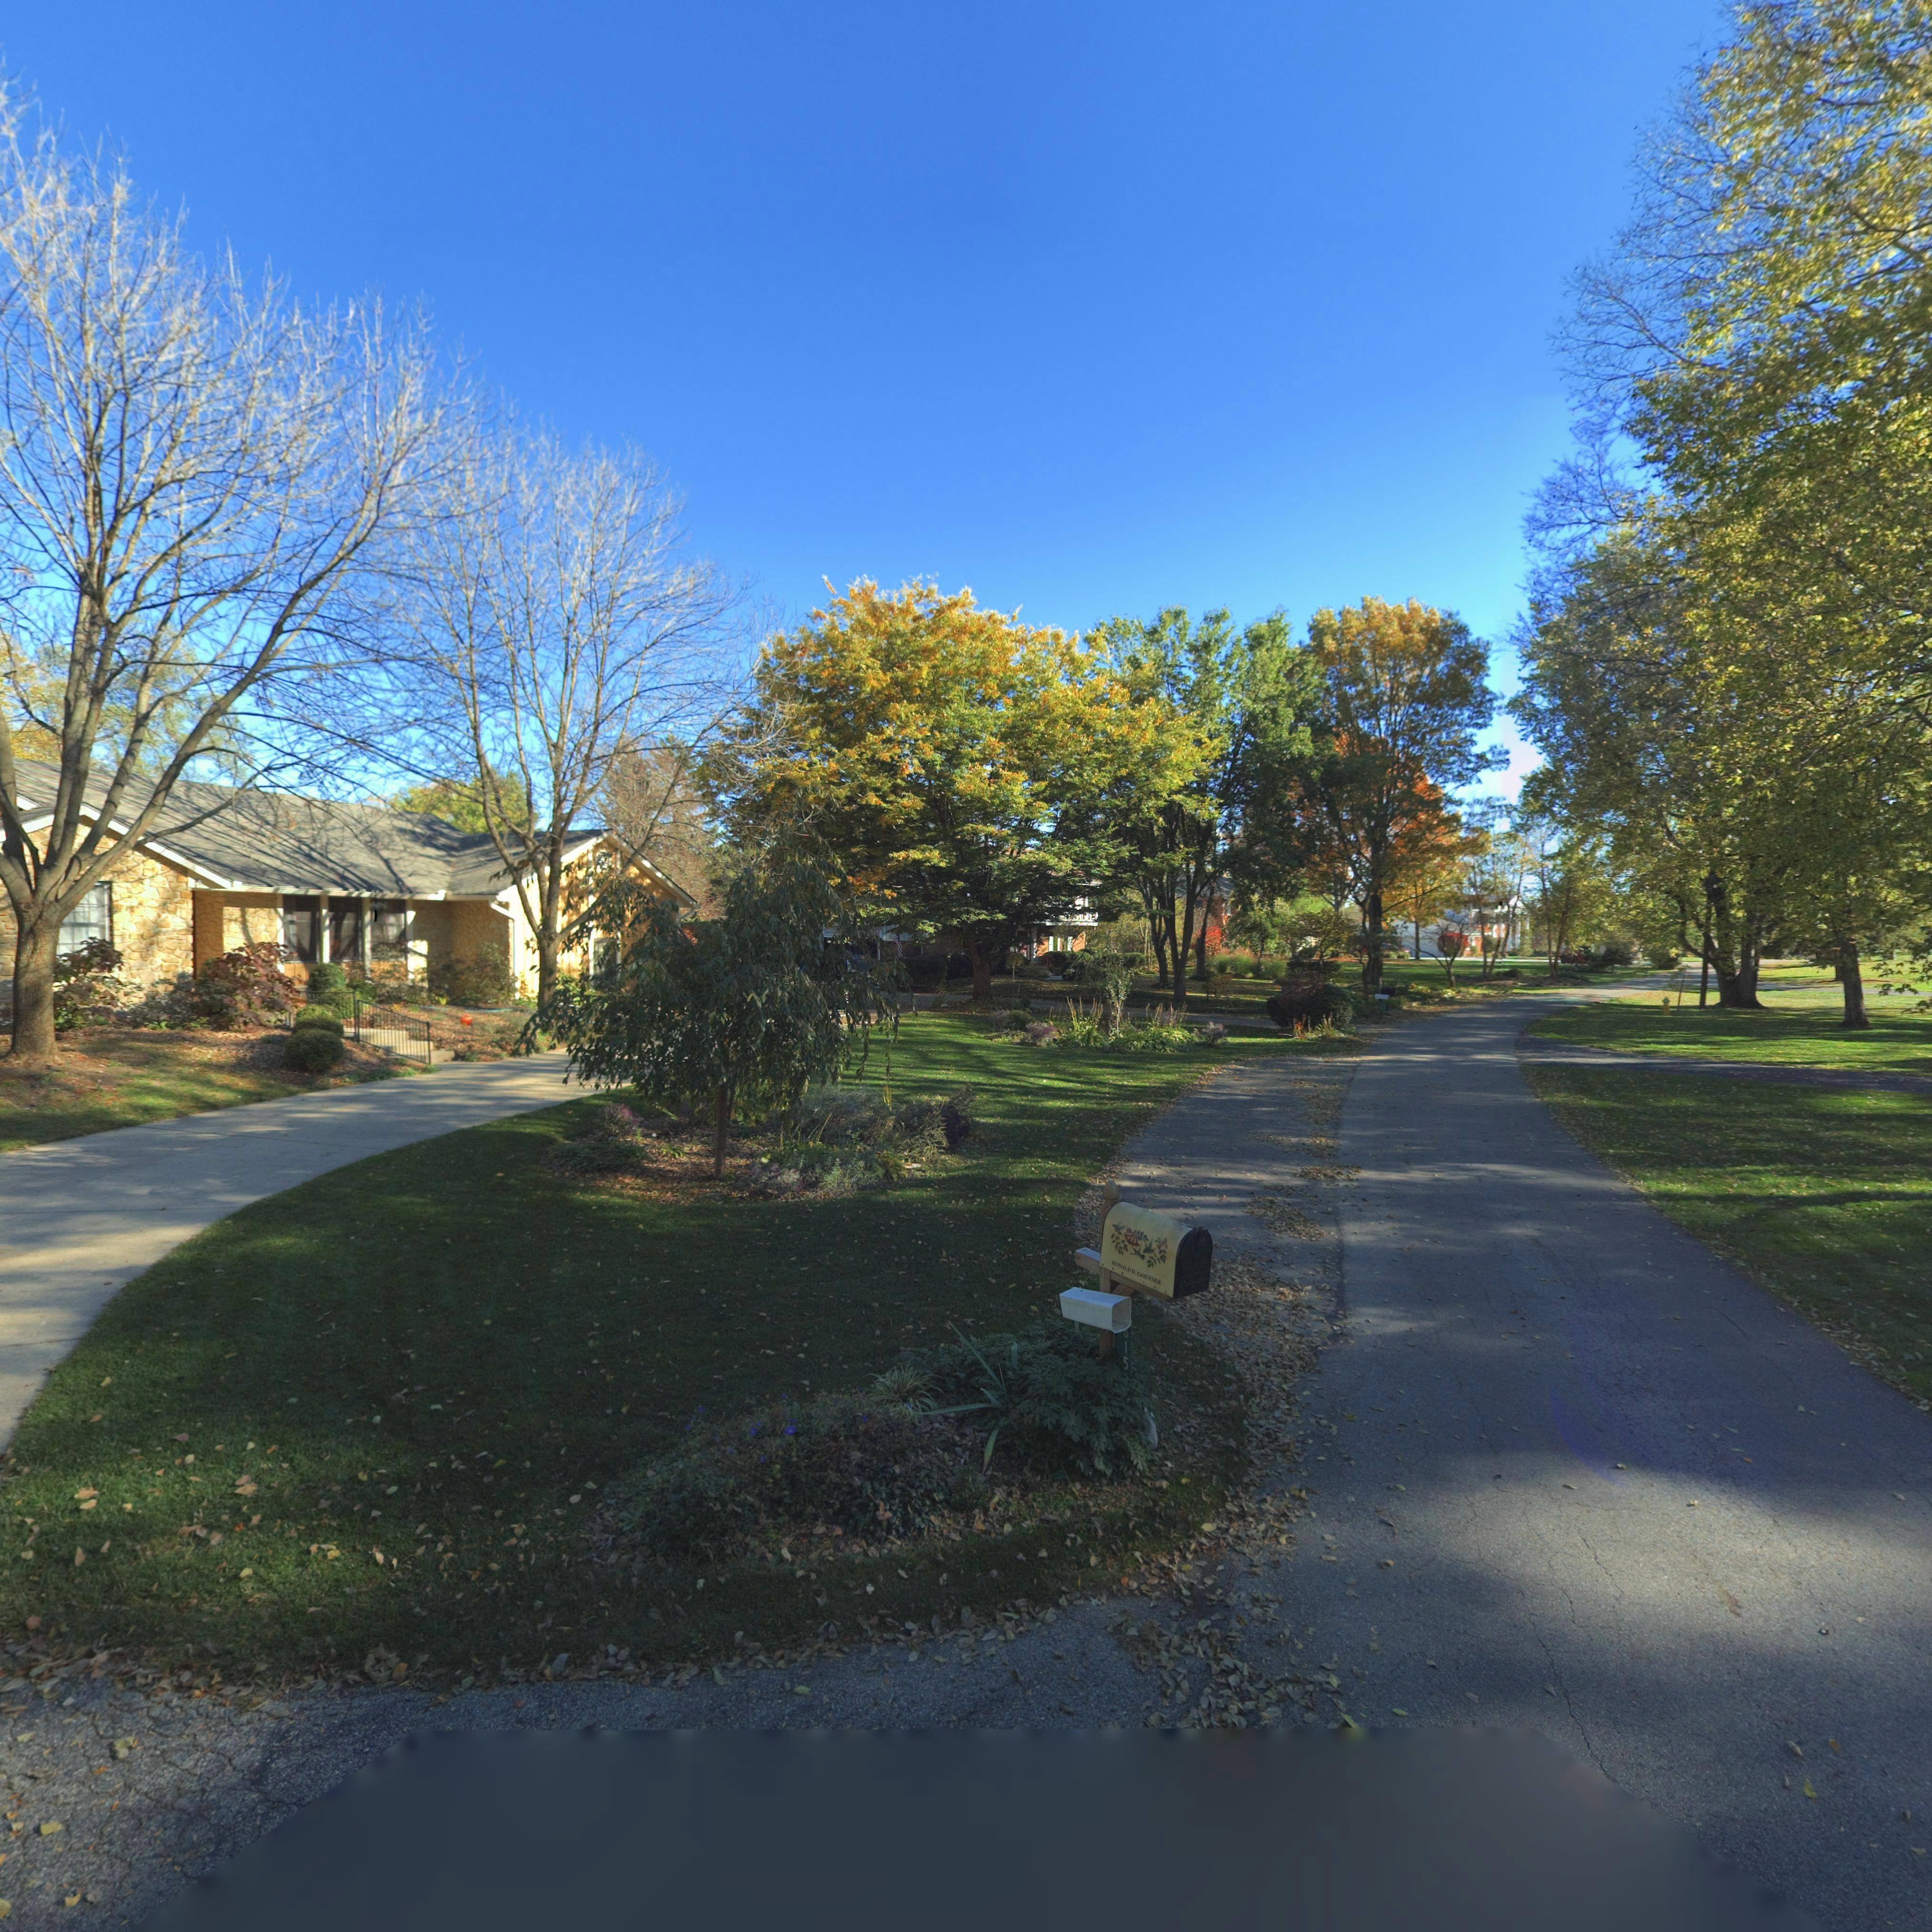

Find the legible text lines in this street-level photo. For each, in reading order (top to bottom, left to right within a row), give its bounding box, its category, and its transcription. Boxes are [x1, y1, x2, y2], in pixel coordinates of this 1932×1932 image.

[1111, 1258, 1162, 1286] None: RONALD D. GOENNER
[1123, 1340, 1130, 1371] StreetNumber: 15